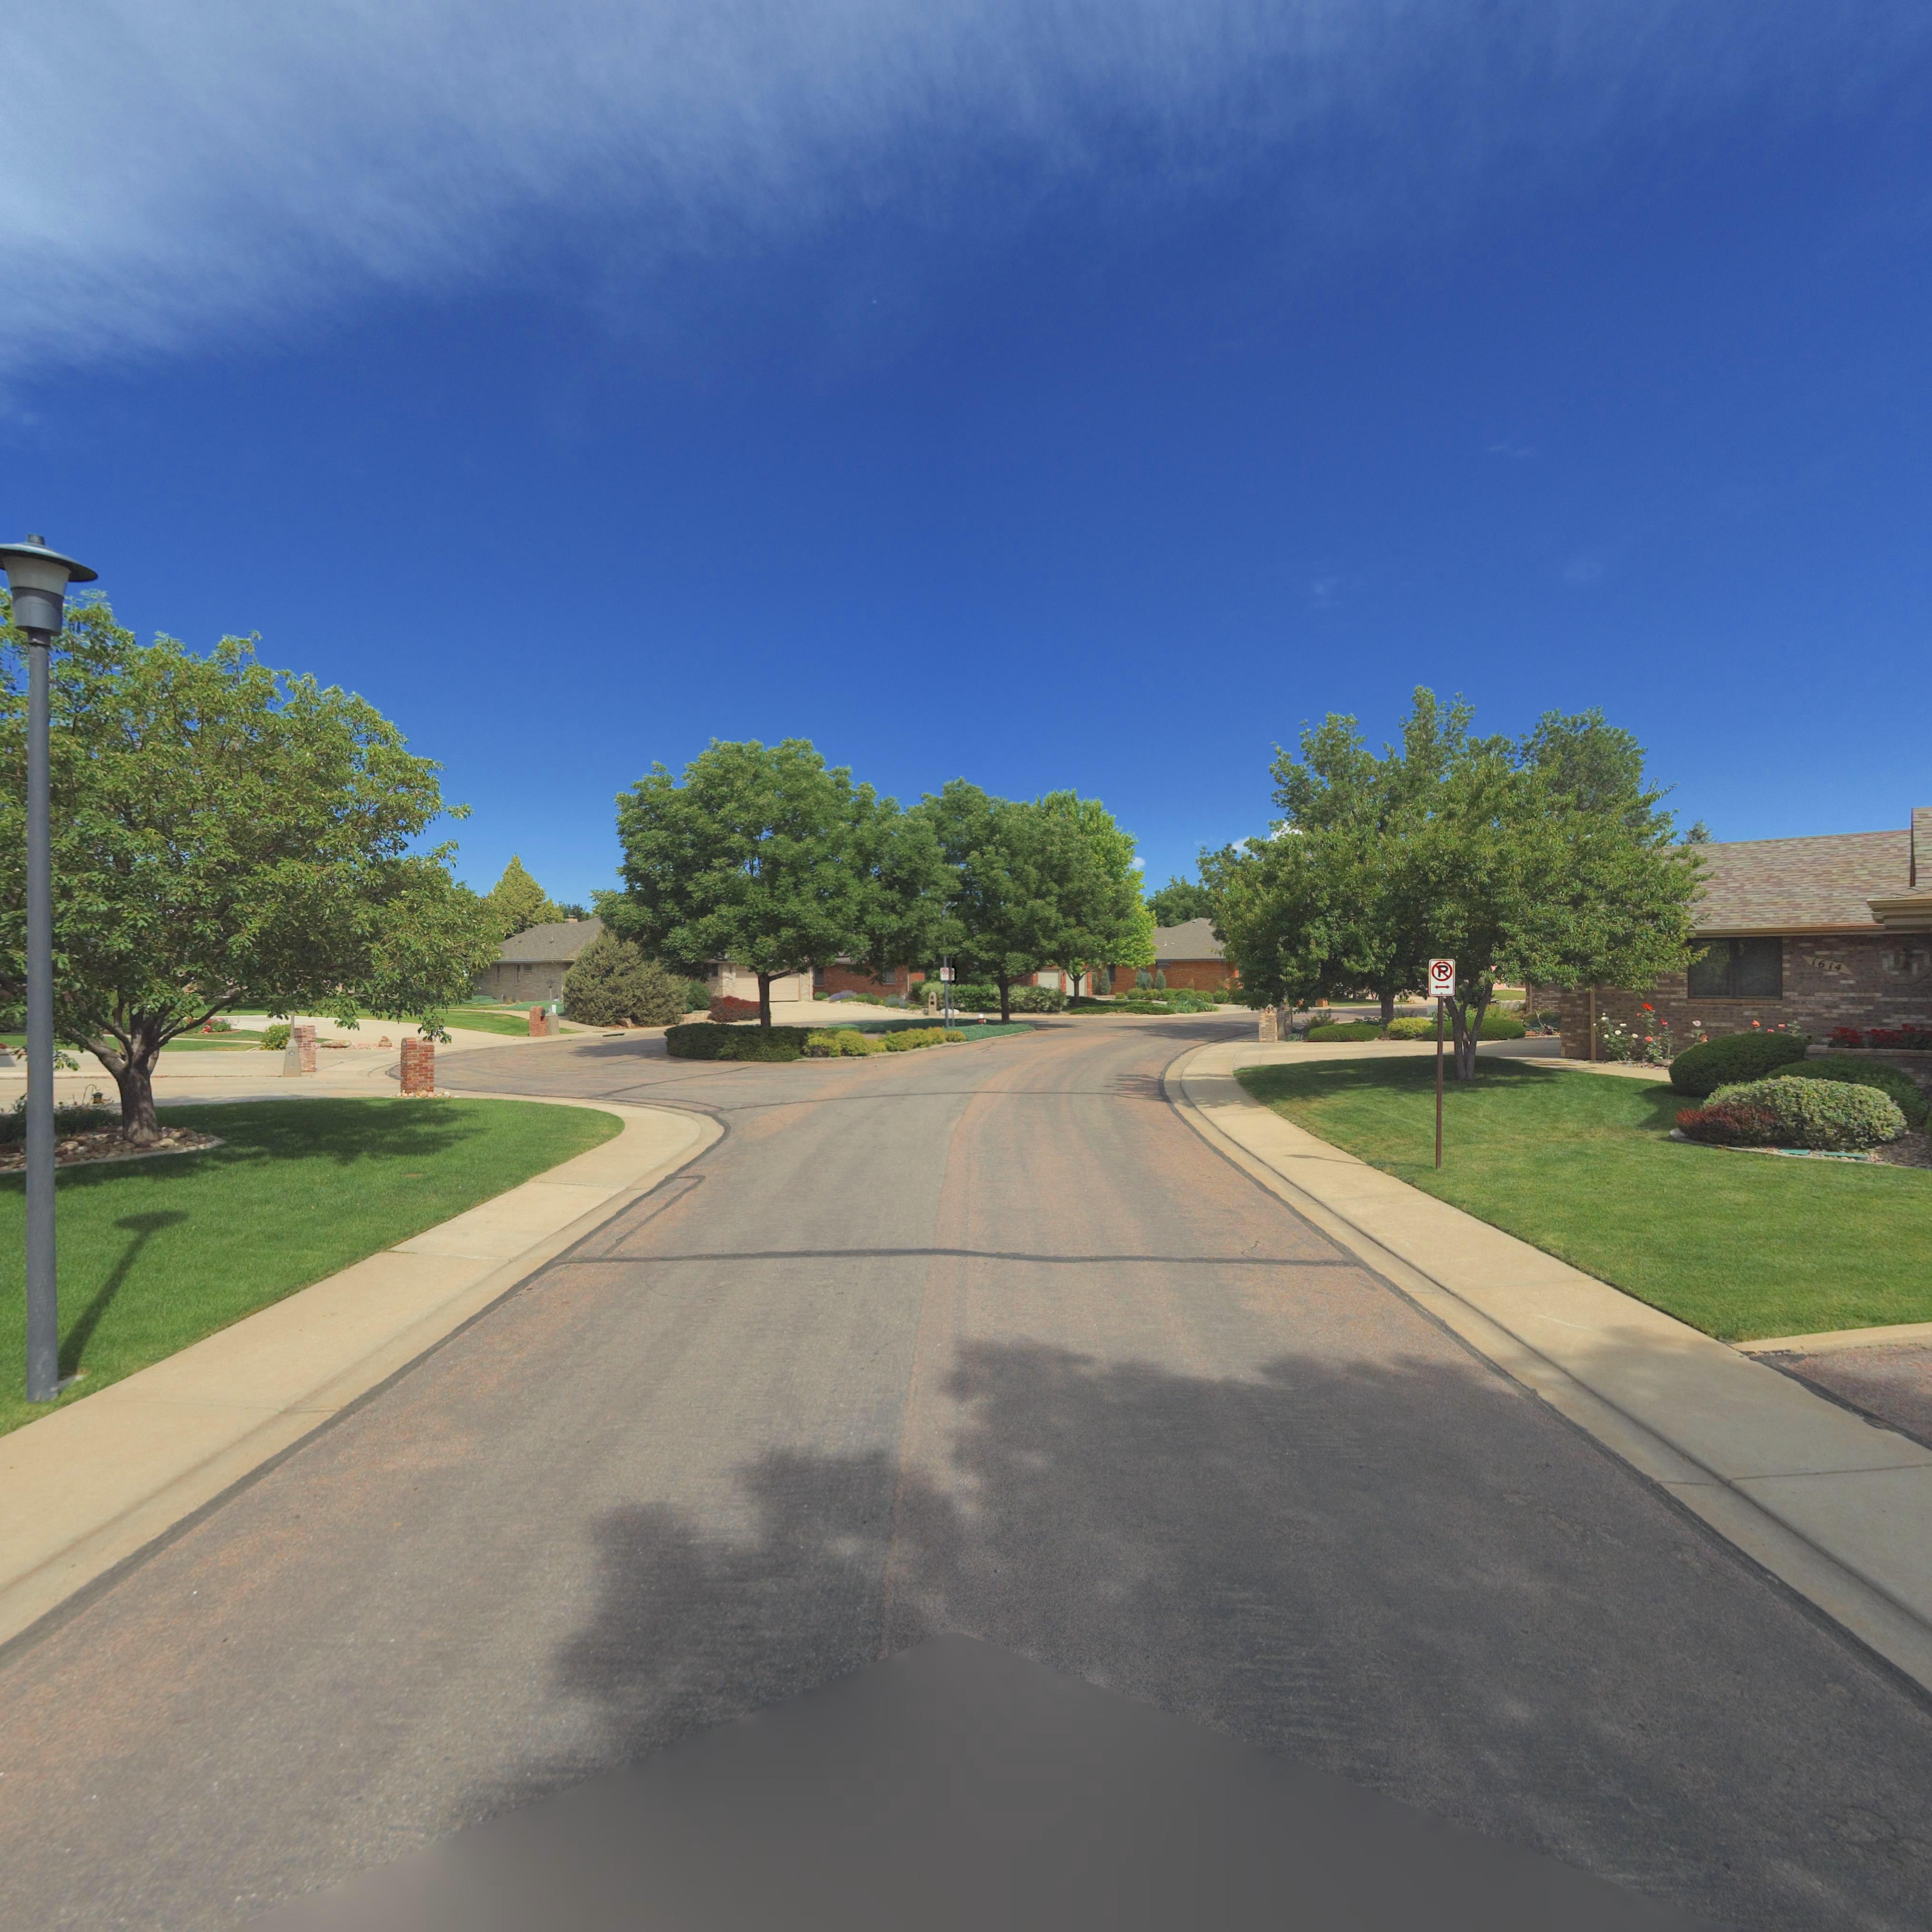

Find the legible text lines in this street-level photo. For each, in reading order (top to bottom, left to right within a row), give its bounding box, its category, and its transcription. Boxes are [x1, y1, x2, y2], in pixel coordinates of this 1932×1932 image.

[1811, 958, 1842, 971] StreetNumber: 1614